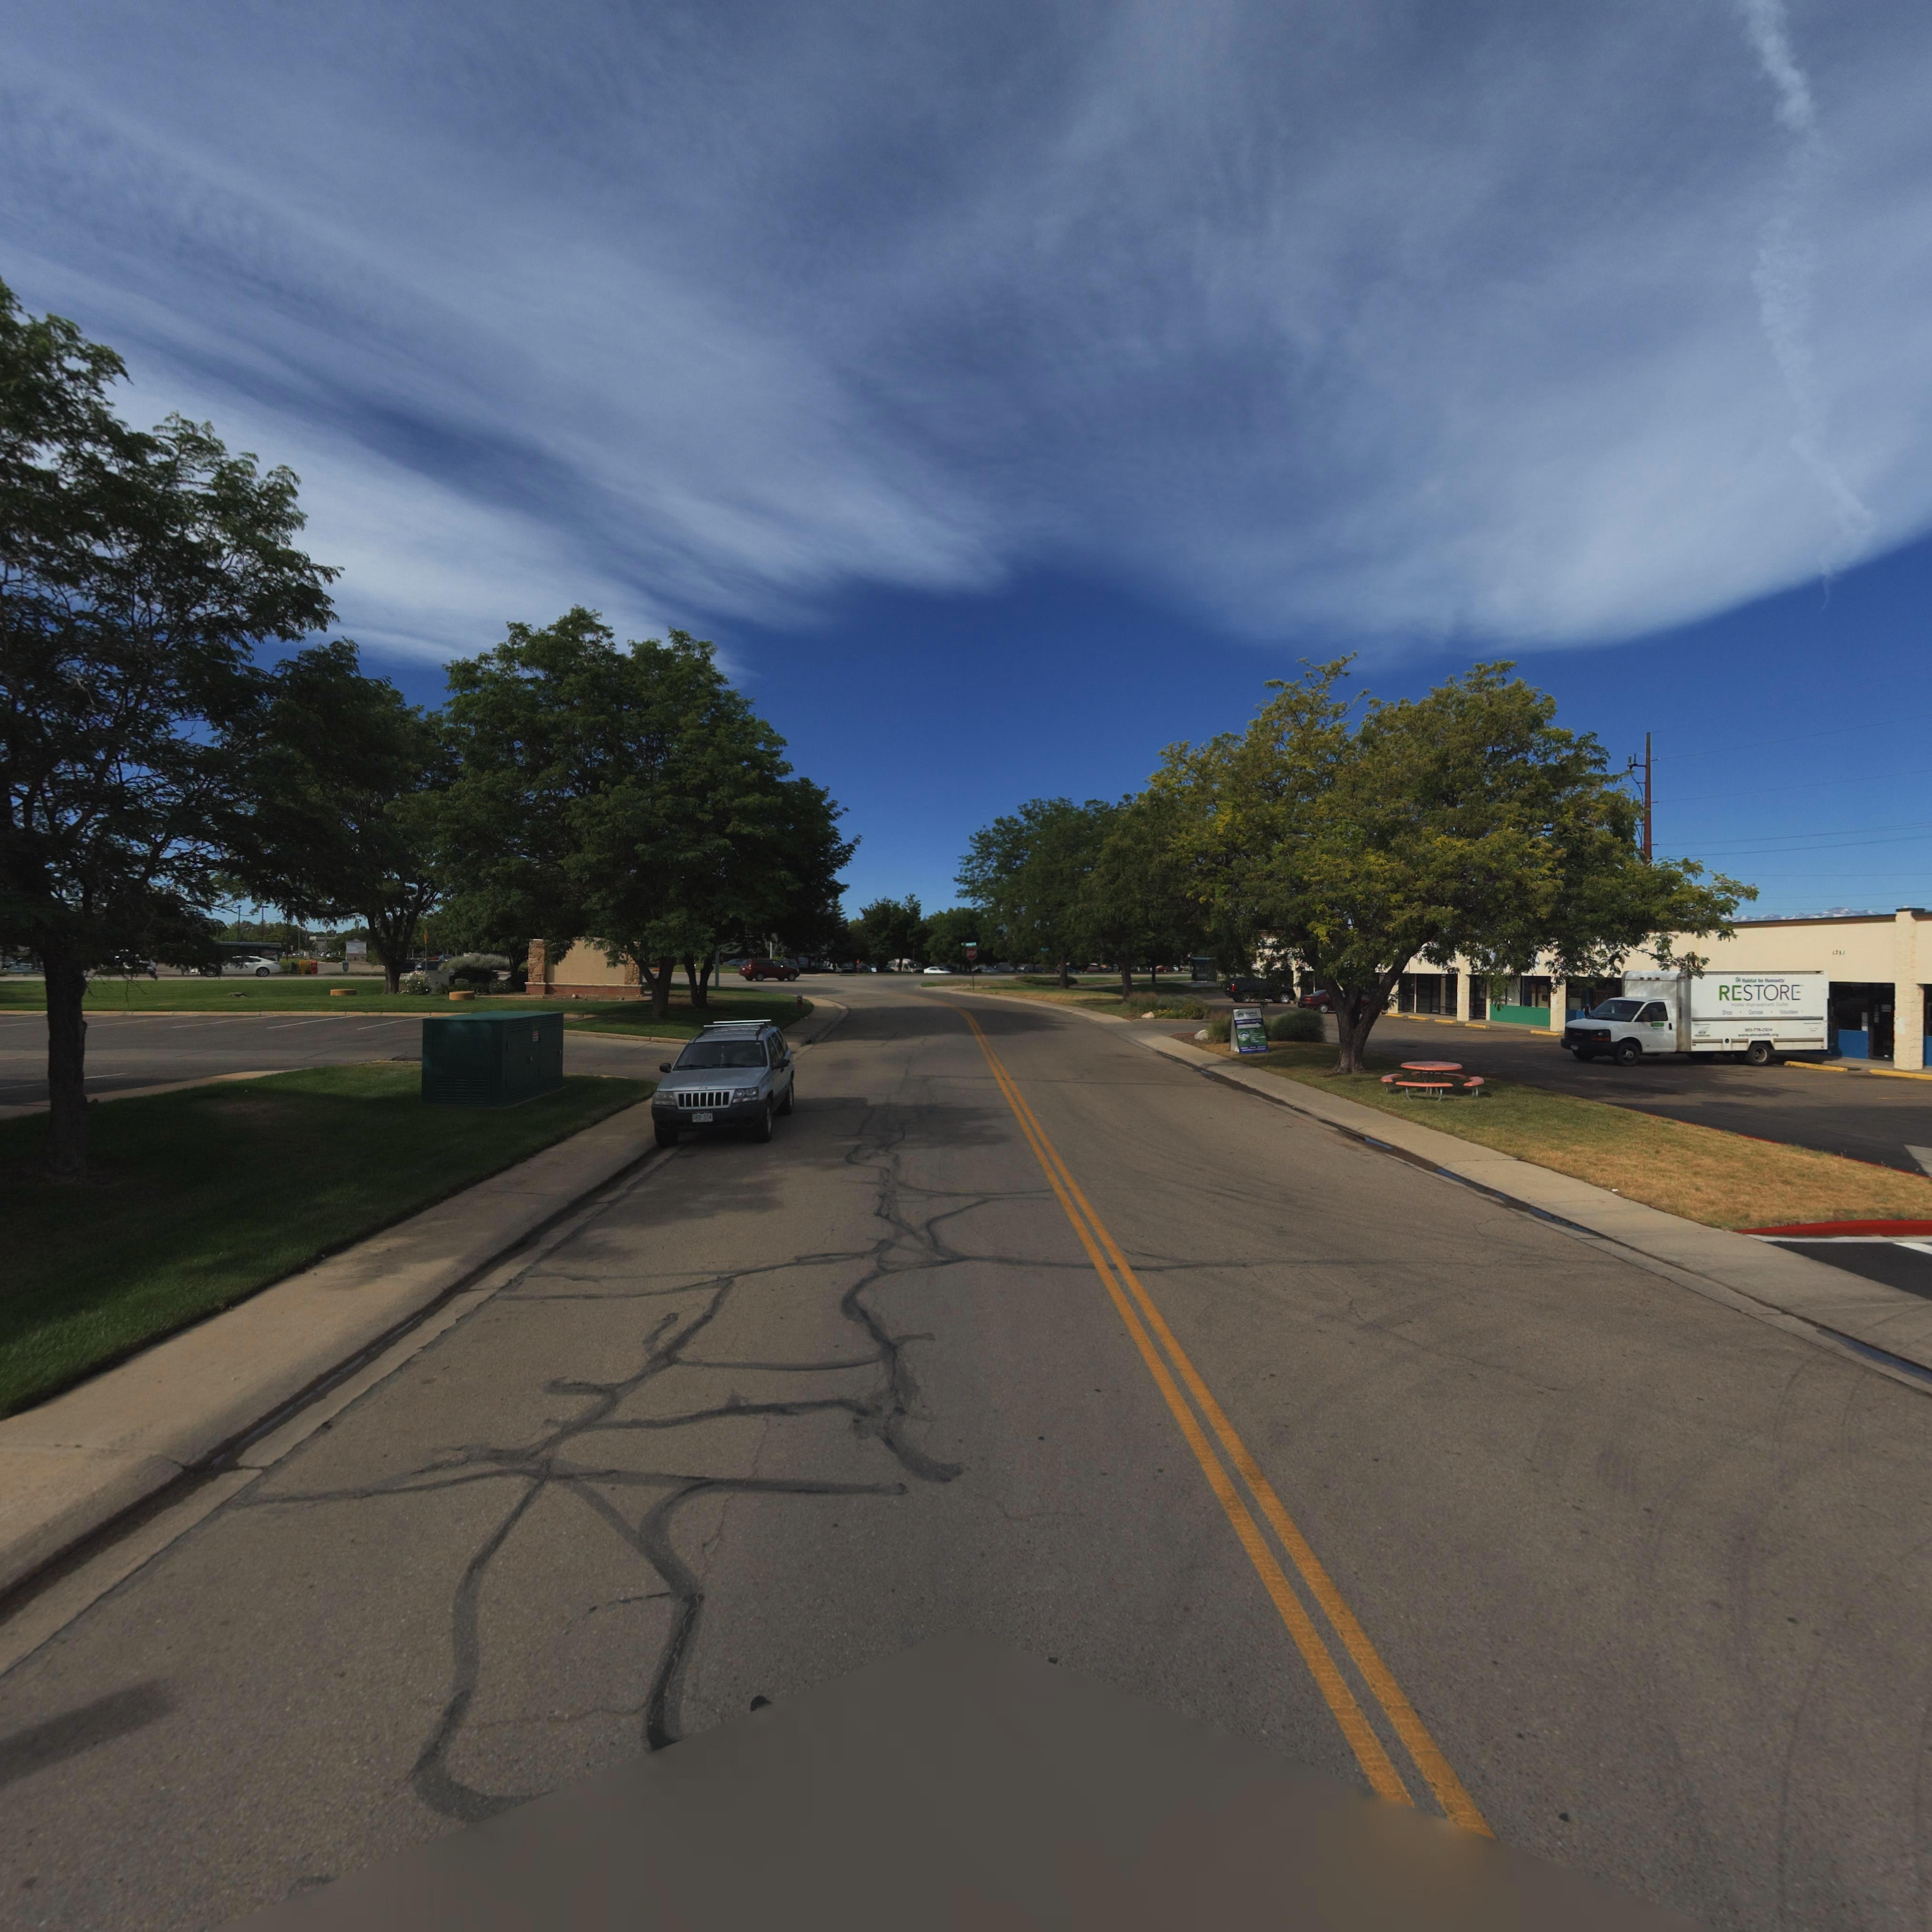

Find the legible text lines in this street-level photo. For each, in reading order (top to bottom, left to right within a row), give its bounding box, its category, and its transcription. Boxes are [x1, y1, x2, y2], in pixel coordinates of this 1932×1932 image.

[1832, 949, 1846, 955] StreetNumber: 13*1